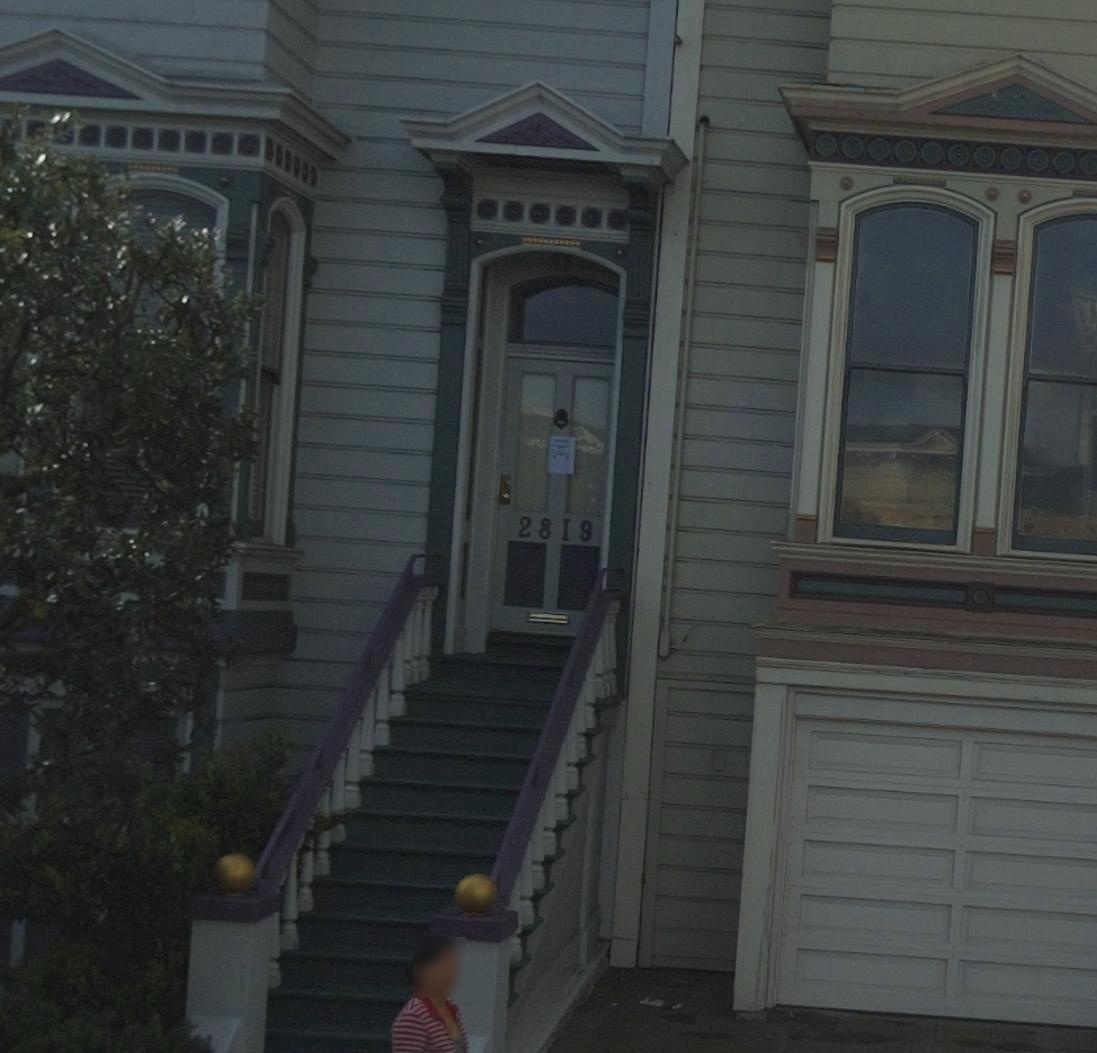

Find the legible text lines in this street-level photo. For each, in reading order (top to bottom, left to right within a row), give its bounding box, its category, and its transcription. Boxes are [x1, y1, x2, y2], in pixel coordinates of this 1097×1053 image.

[514, 511, 598, 547] StreetNumber: 2819